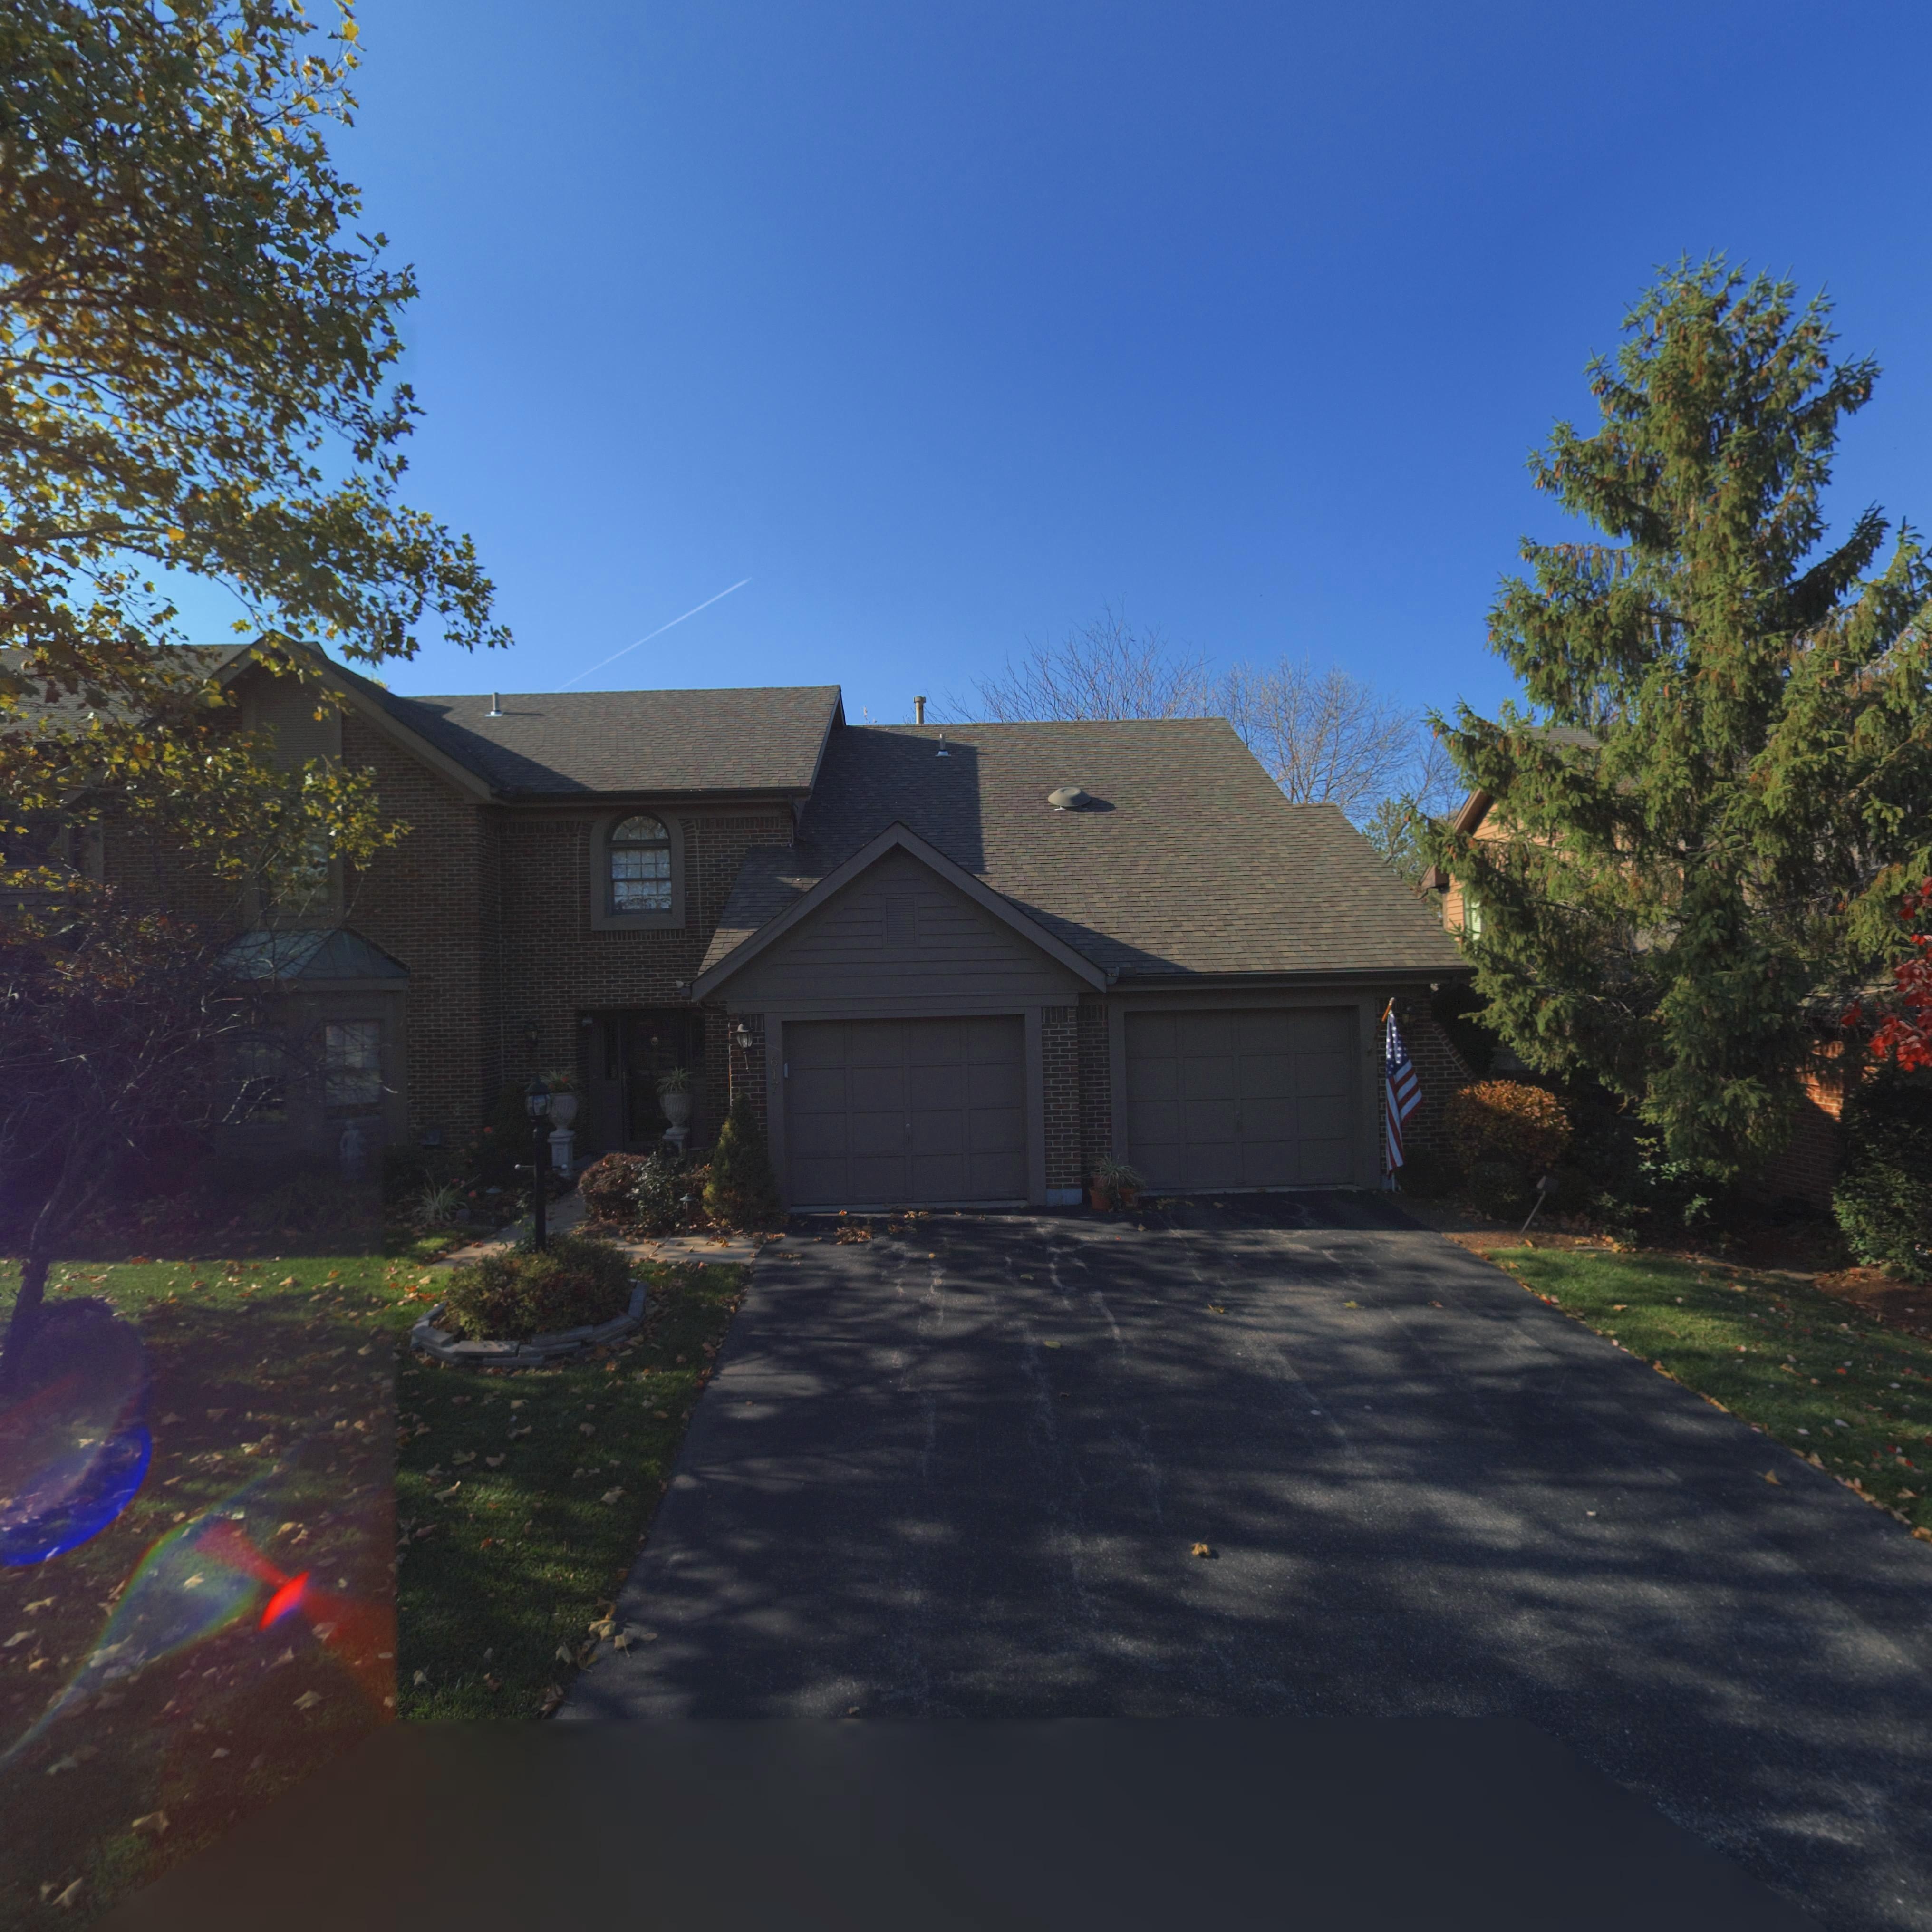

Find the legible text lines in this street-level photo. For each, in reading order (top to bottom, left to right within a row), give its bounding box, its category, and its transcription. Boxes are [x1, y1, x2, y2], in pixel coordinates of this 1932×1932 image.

[770, 1054, 780, 1095] StreetNumber: 617